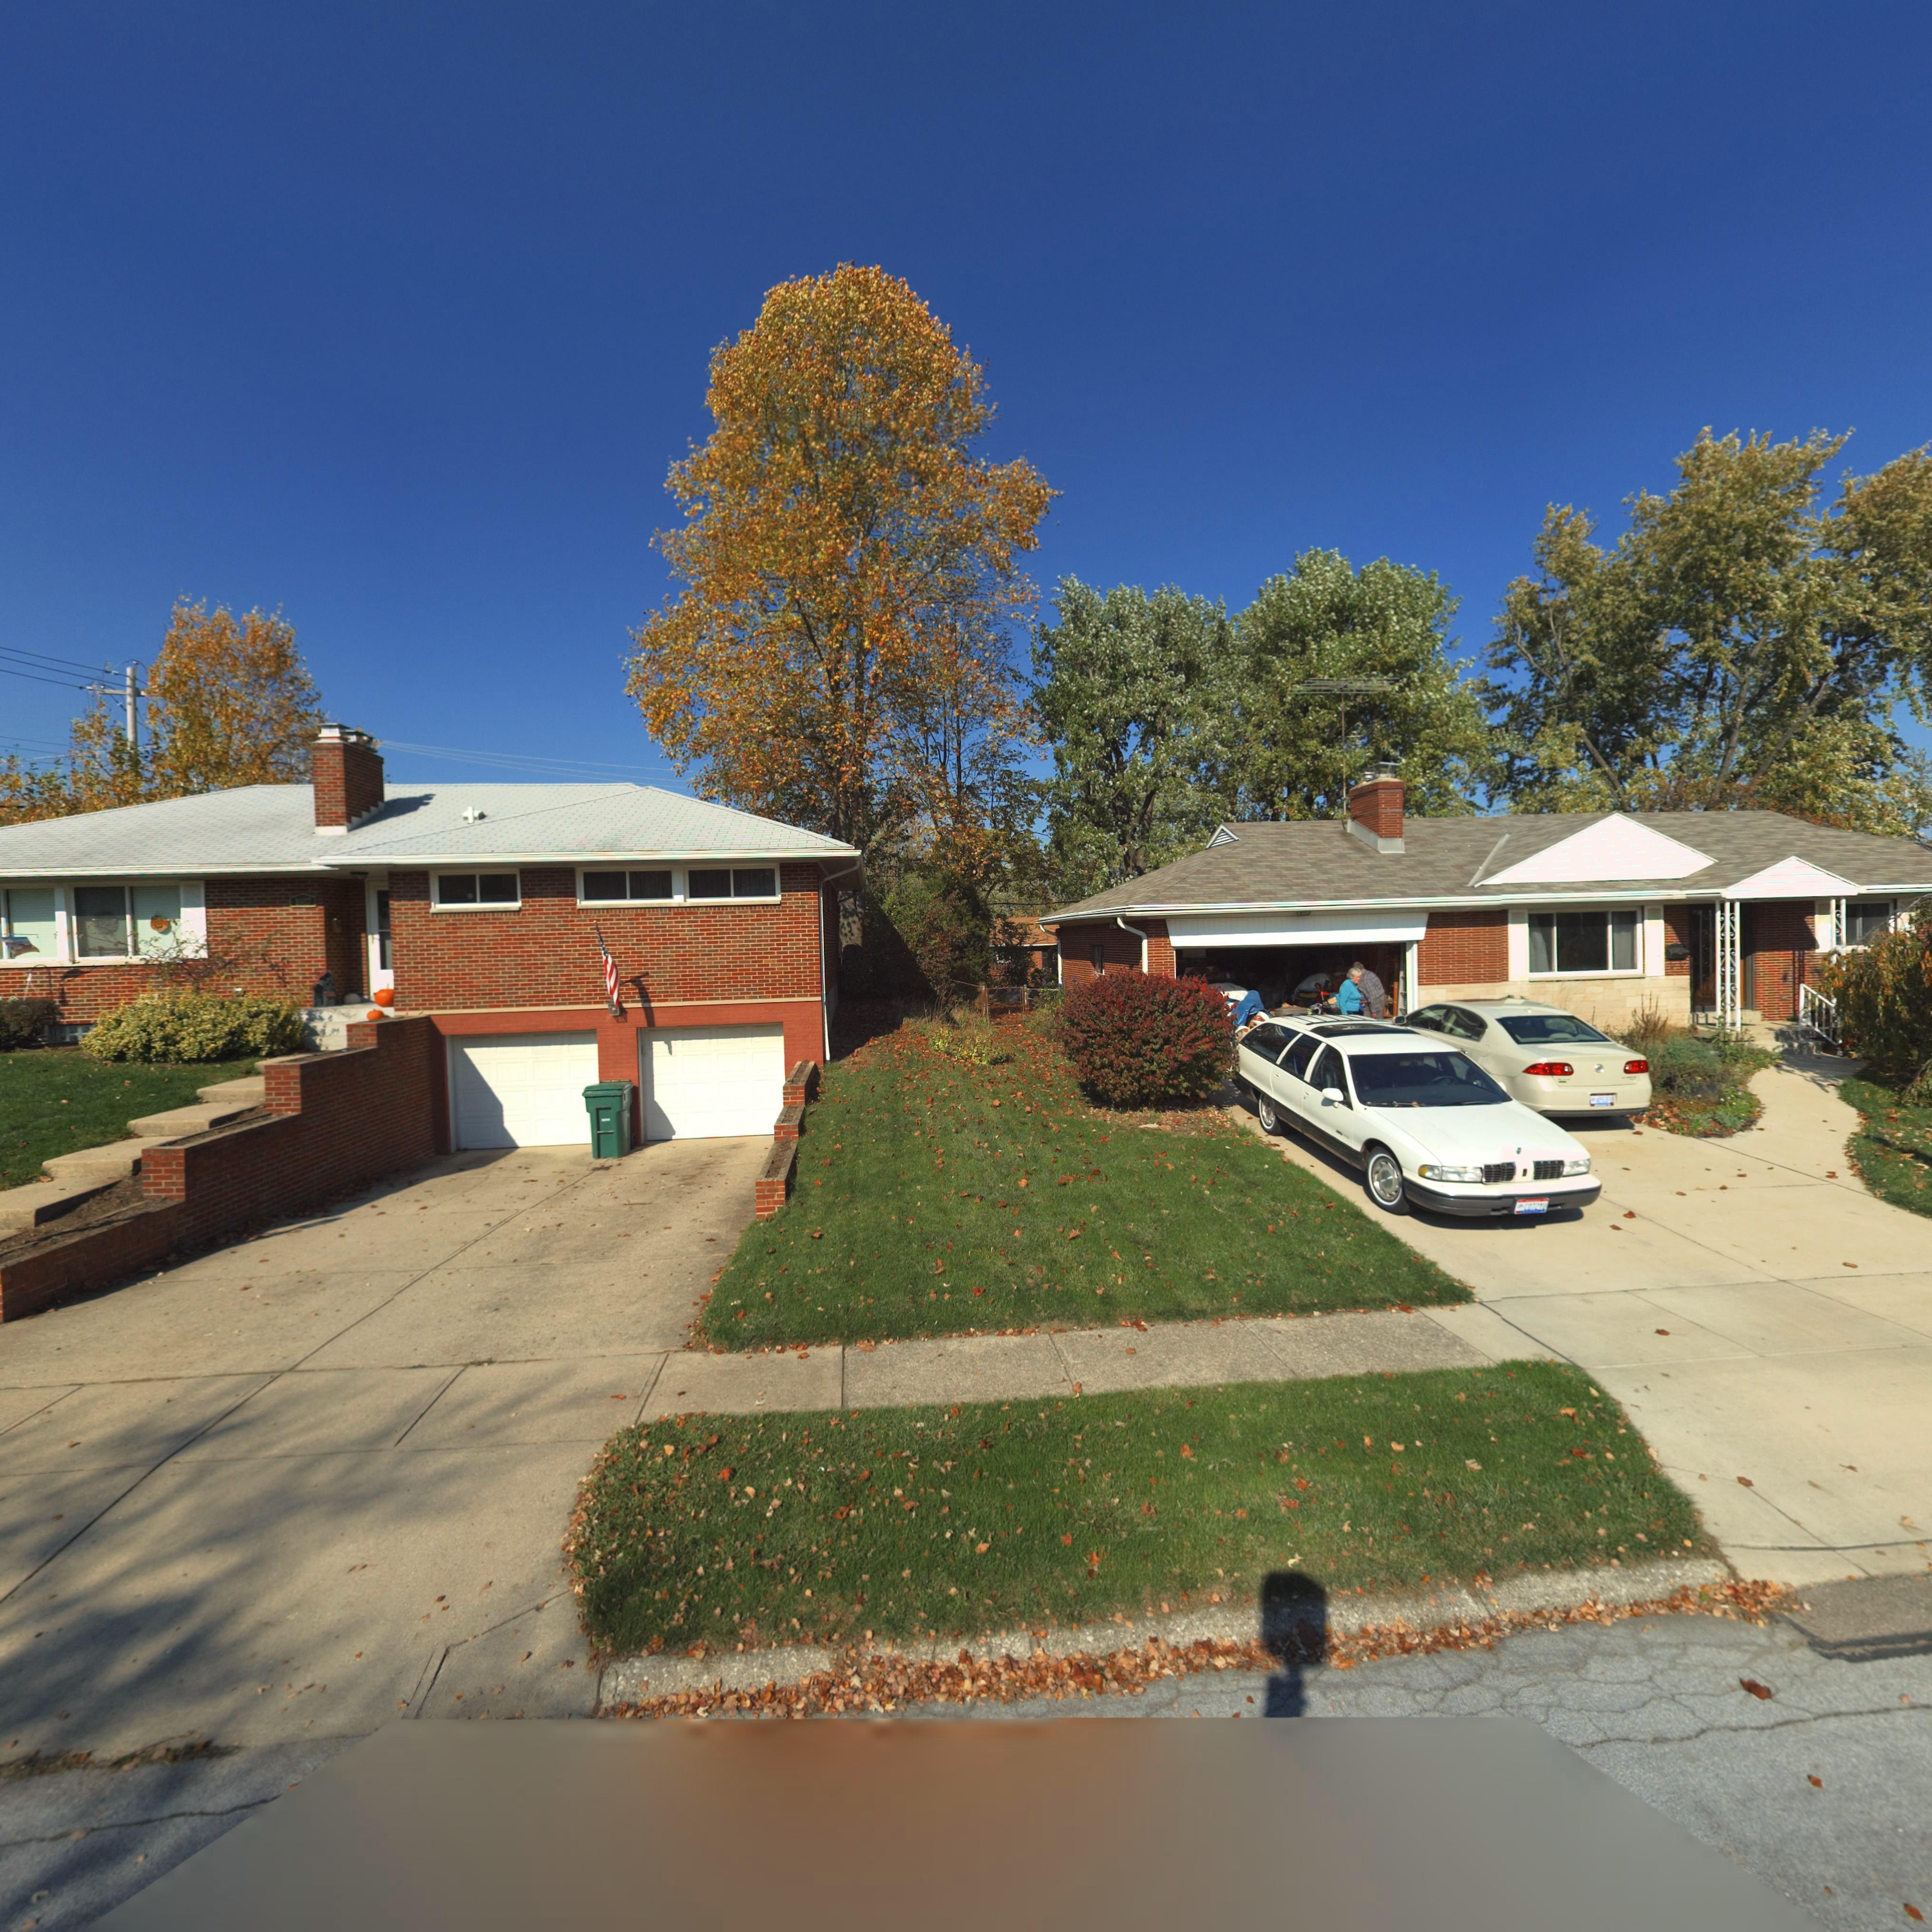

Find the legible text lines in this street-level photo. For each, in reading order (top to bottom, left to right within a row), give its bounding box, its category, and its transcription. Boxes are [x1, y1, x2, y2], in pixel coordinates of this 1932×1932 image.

[293, 896, 313, 907] StreetNumber: 1**7